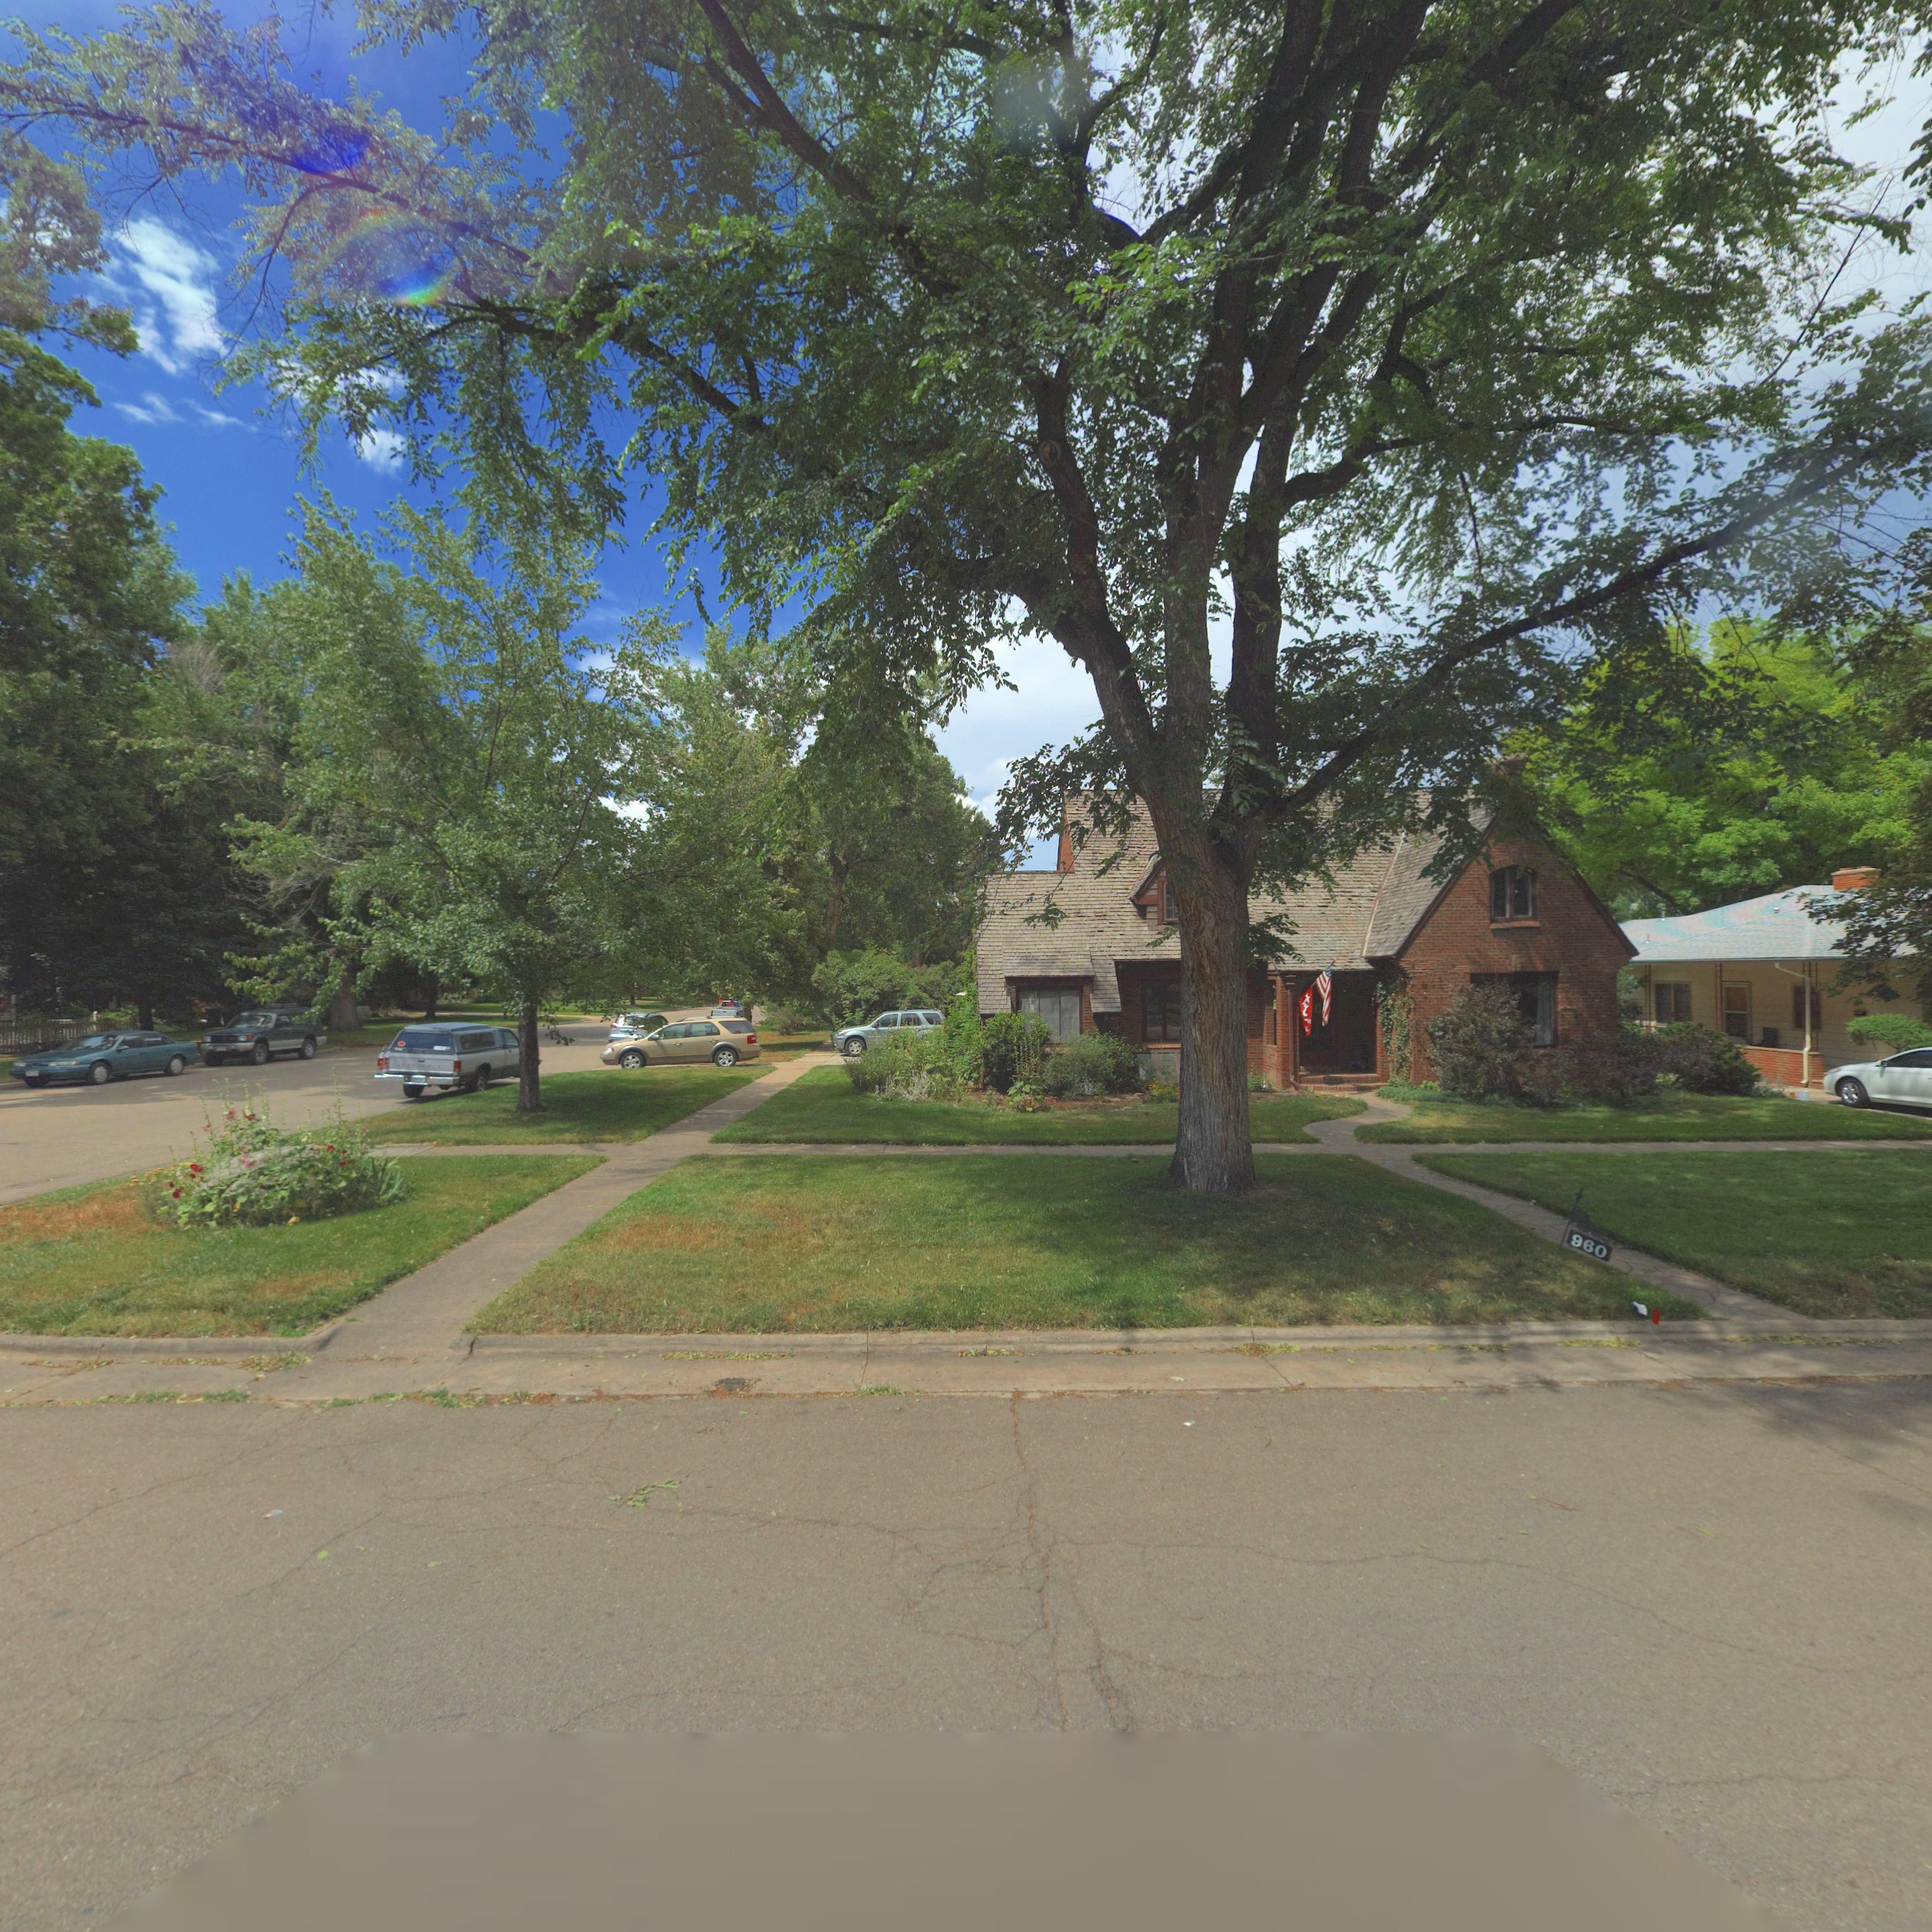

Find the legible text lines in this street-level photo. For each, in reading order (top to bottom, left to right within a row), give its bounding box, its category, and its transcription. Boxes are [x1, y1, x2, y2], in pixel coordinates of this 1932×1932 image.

[1569, 1233, 1608, 1258] StreetNumber: 960